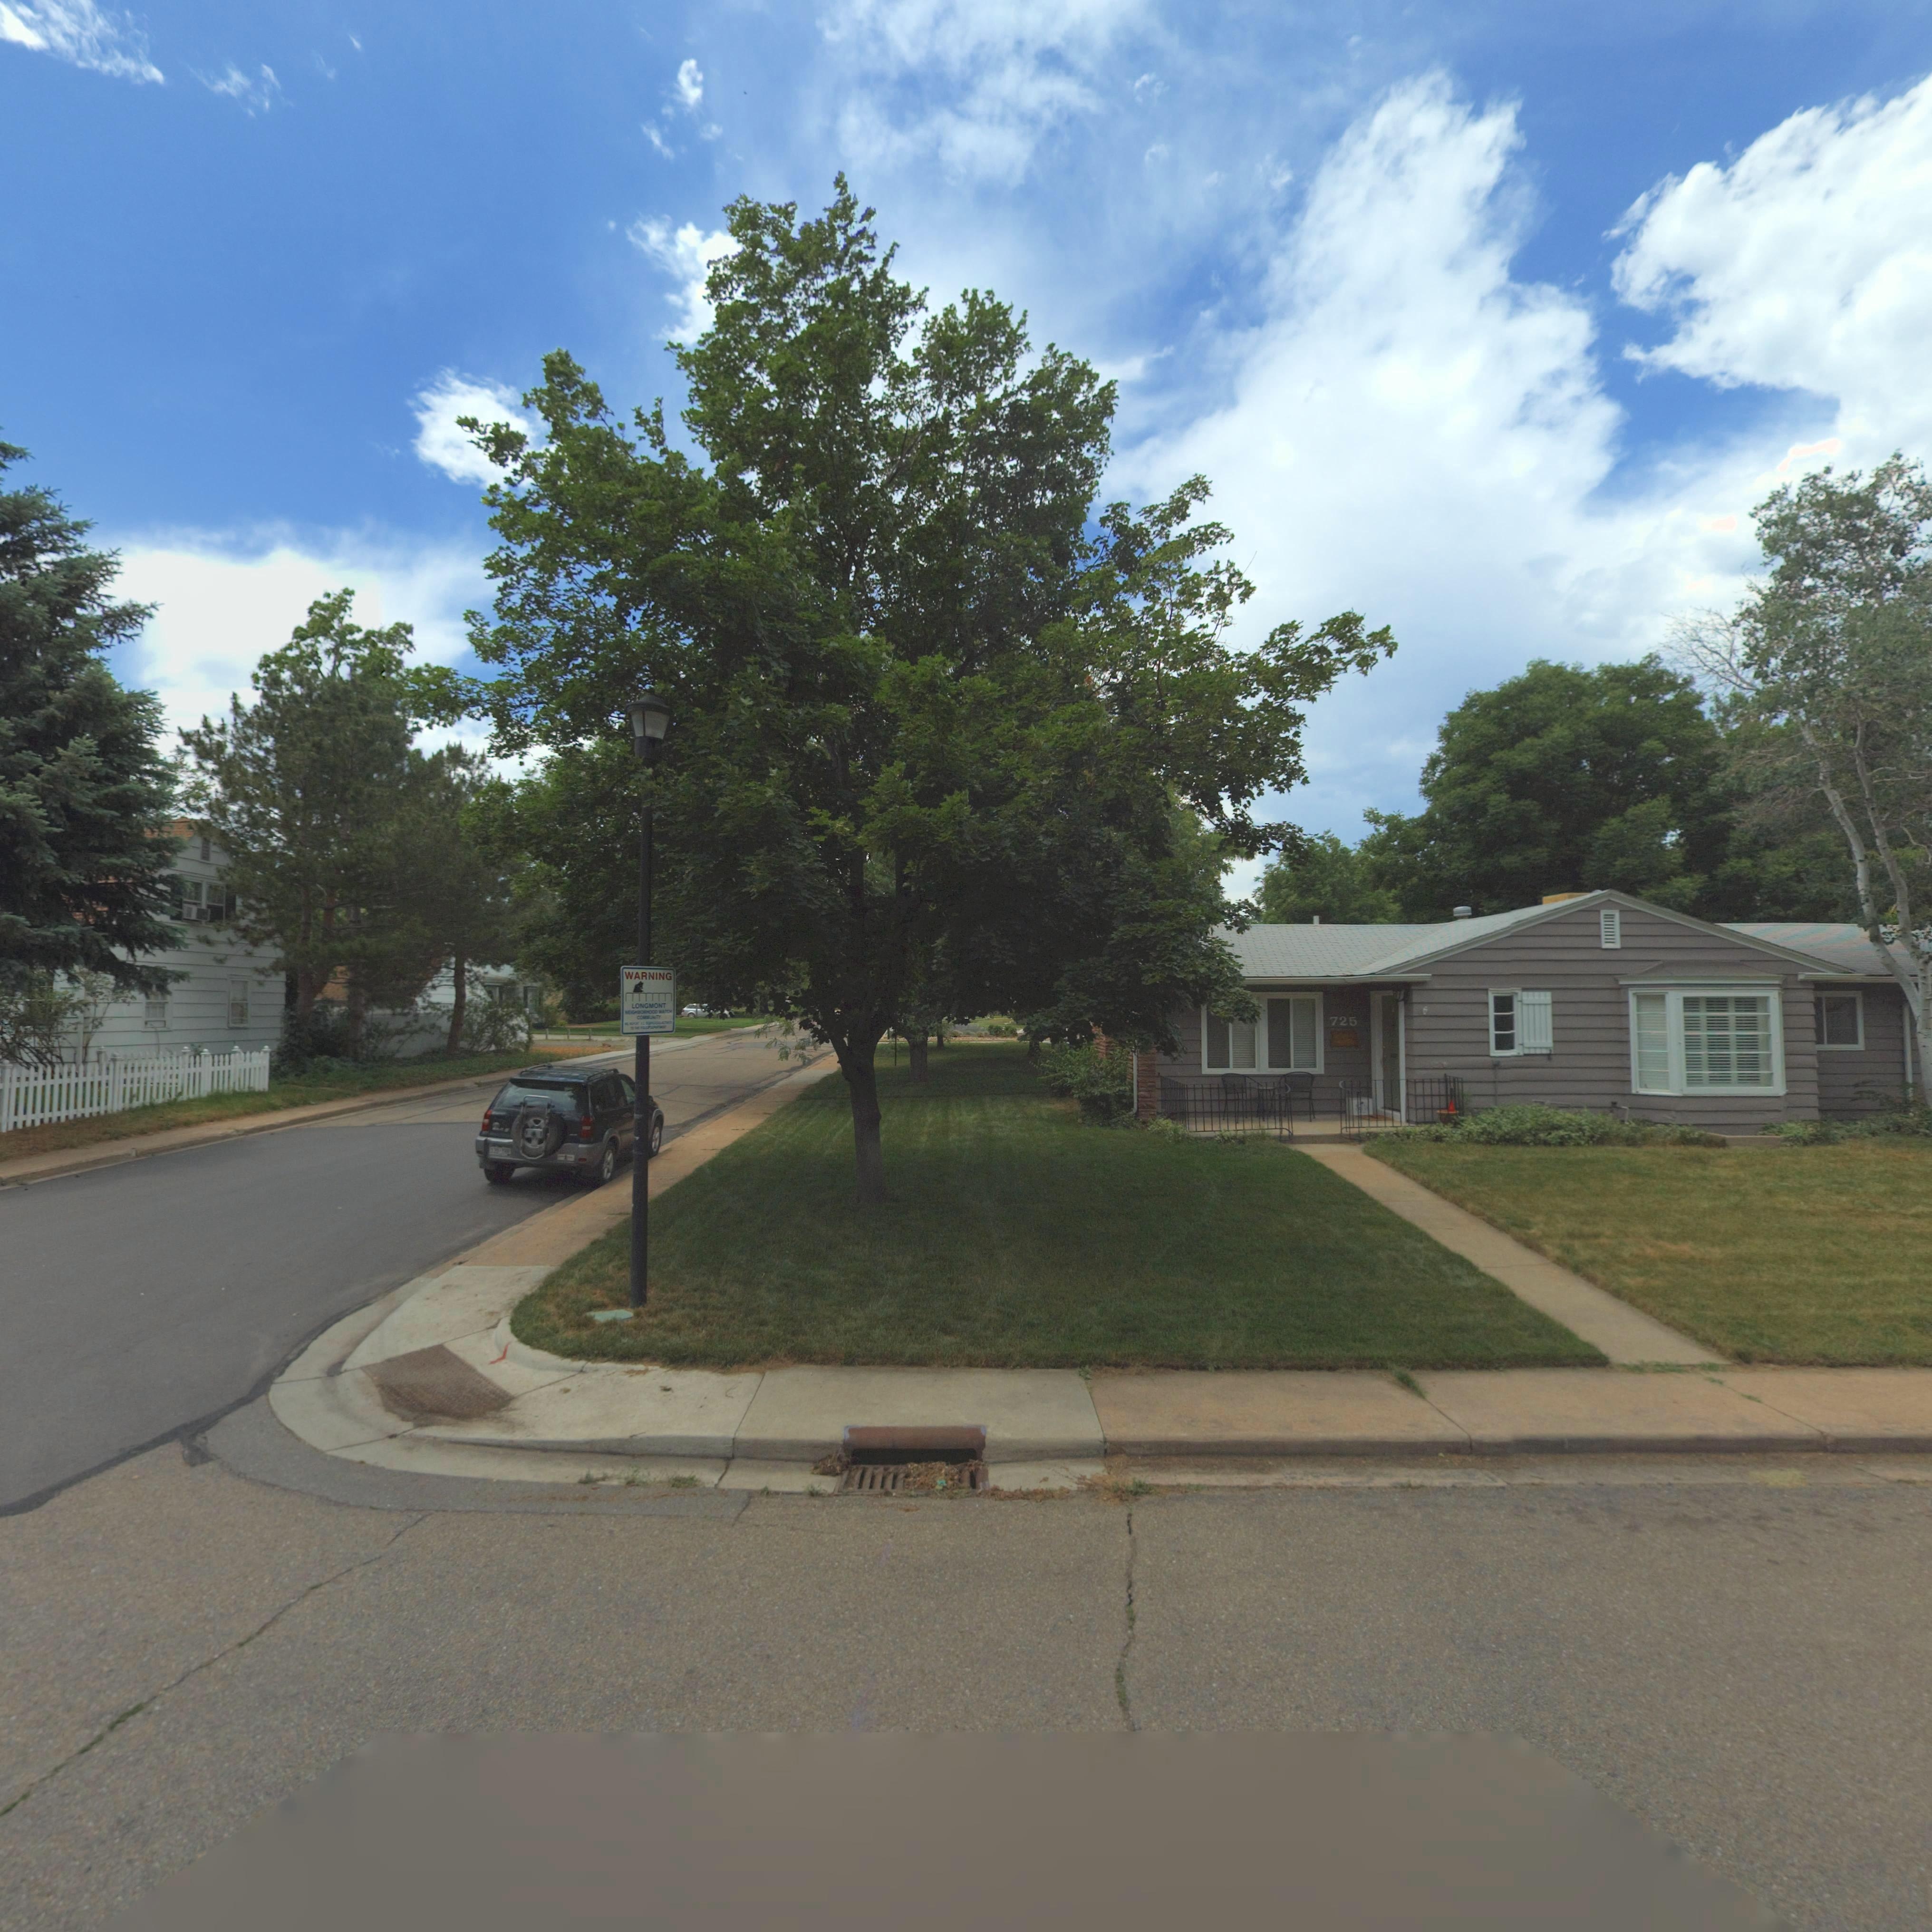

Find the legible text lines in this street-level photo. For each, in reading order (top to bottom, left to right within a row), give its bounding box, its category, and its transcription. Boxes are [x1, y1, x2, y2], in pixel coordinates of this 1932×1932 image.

[1329, 1016, 1357, 1025] StreetNumber: 725